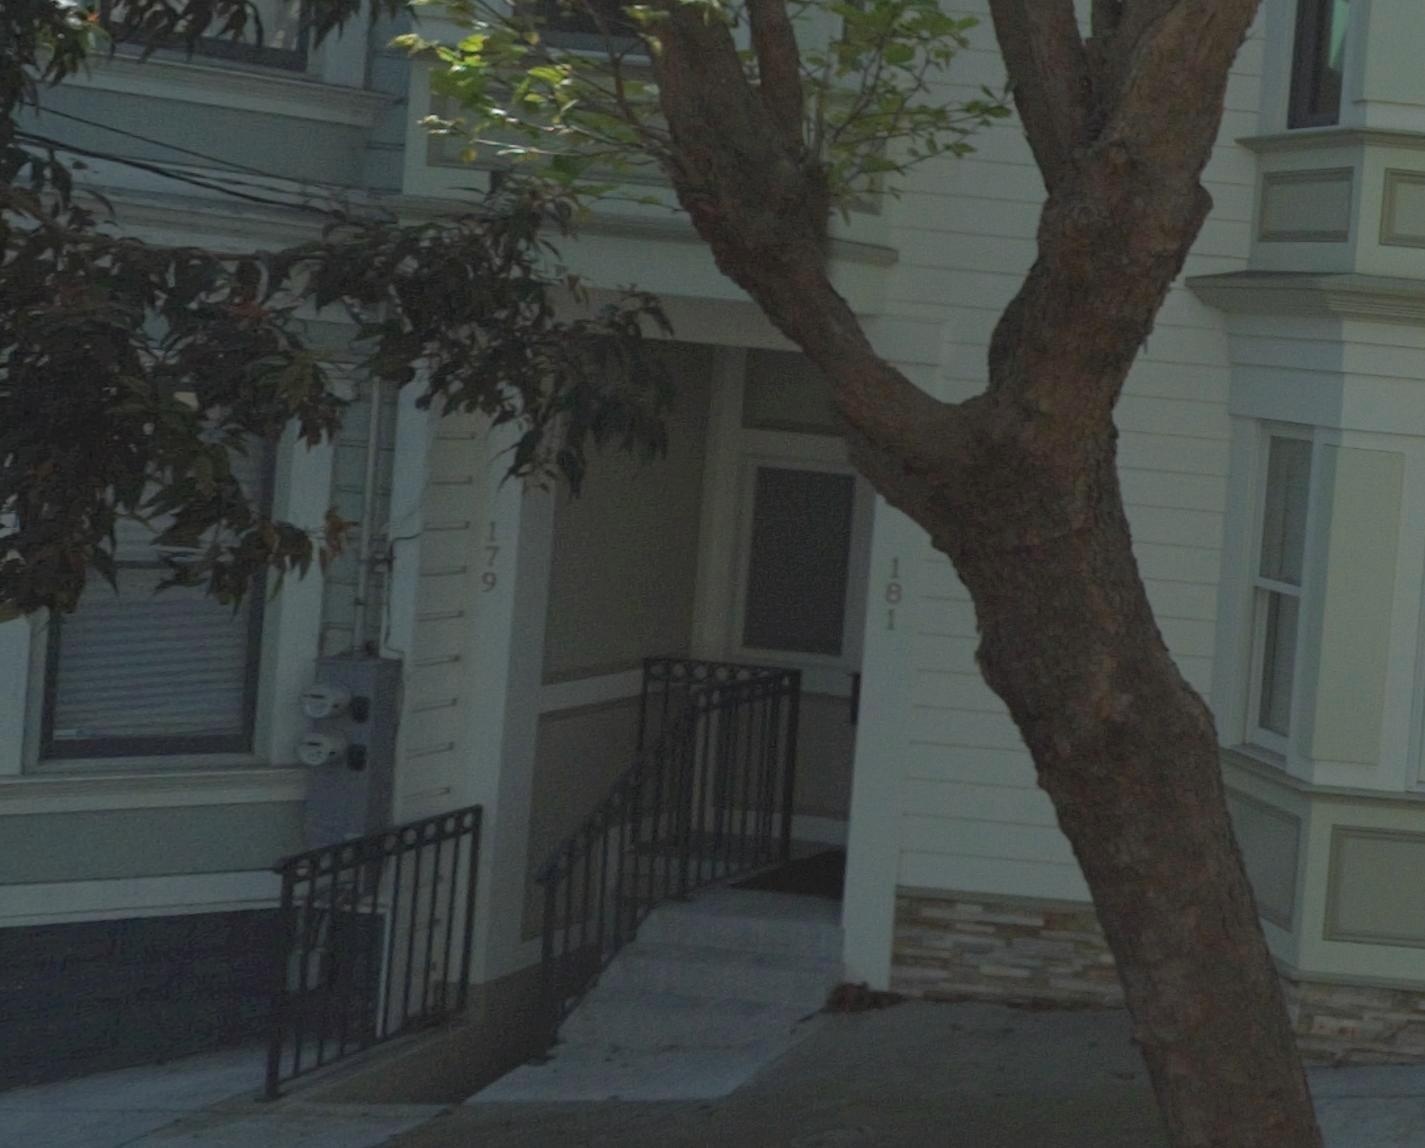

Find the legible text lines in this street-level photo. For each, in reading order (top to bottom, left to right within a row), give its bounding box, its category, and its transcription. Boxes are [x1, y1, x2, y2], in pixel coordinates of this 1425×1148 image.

[480, 518, 501, 594] StreetNumber: 179
[883, 552, 905, 633] StreetNumber: 181